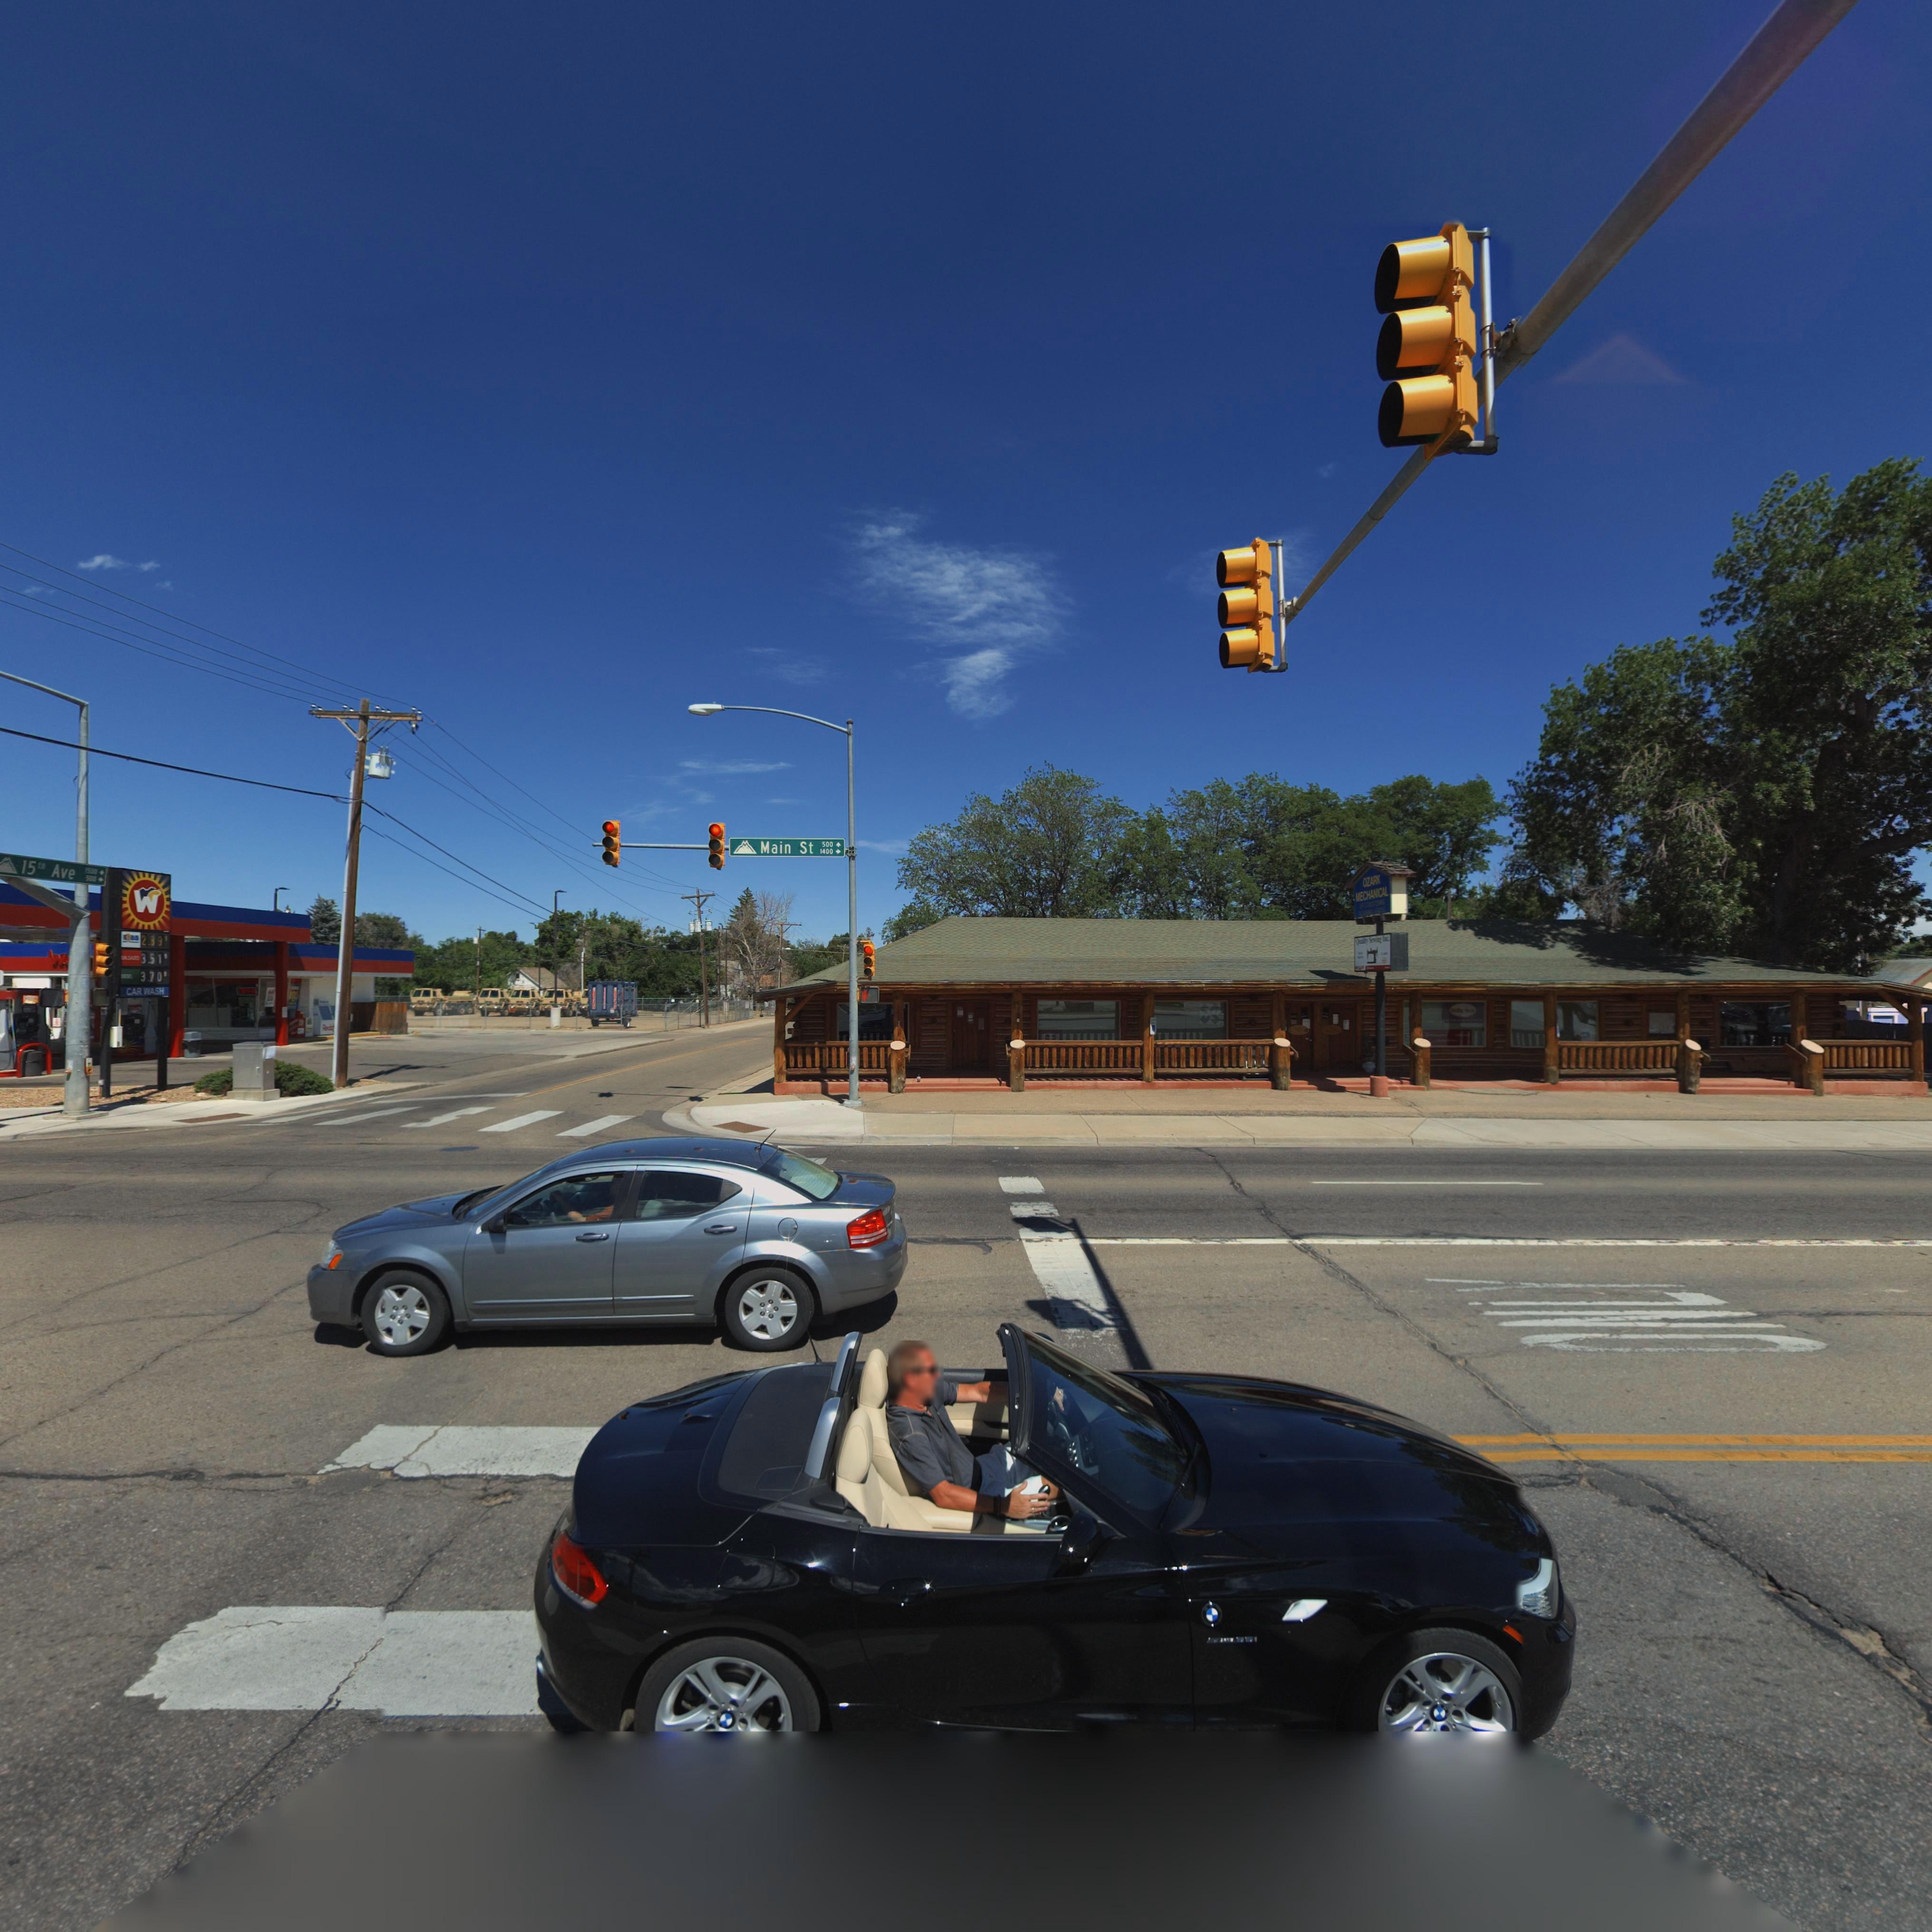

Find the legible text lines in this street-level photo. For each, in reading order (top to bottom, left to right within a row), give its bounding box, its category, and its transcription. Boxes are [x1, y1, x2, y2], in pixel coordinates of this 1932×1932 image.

[761, 840, 814, 854] StreetName: Main St
[821, 841, 833, 847] StreetNumberRange: 500
[820, 848, 841, 854] StreetNumberRange: 1400->
[21, 860, 76, 879] StreetName: 15th Ave
[85, 868, 97, 874] StreetNumberRange: 1500
[85, 875, 103, 882] StreetNumberRange: 500->
[1362, 874, 1380, 888] BusinessName: OZARK
[1355, 887, 1389, 902] BusinessName: MECHANICAL
[134, 890, 158, 913] BusinessName: W
[1355, 935, 1390, 946] BusinessName: ***lity S*wing I*c.